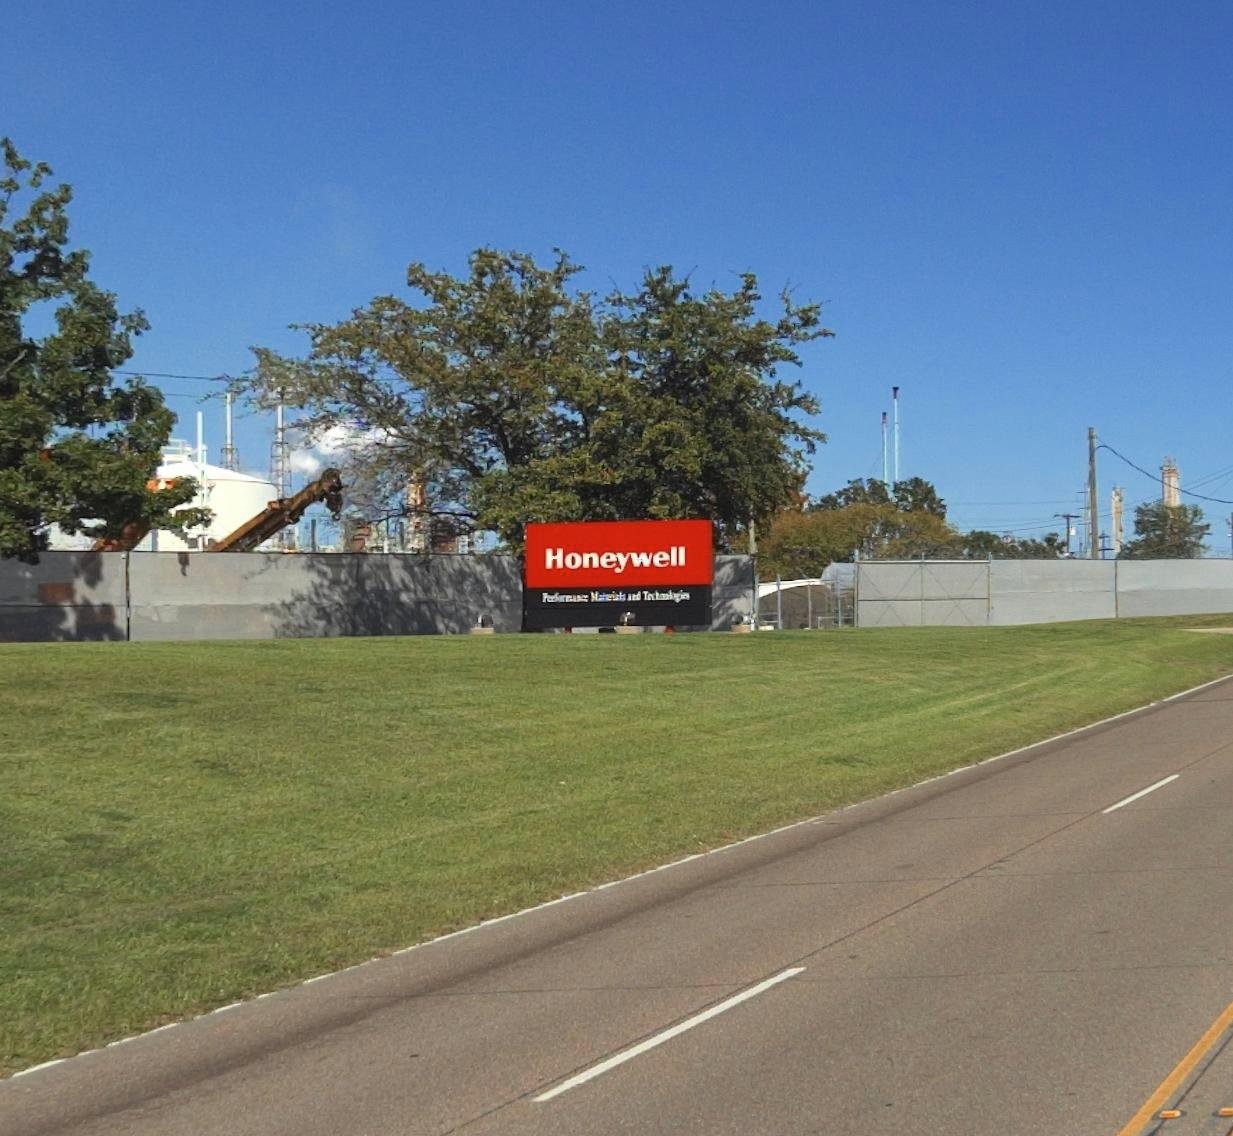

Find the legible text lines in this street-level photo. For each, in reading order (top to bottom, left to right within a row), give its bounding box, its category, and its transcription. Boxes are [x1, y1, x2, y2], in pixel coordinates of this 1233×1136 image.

[543, 545, 688, 577] BusinessName: Honeywell
[539, 591, 551, 604] None: P
[641, 589, 650, 602] None: T